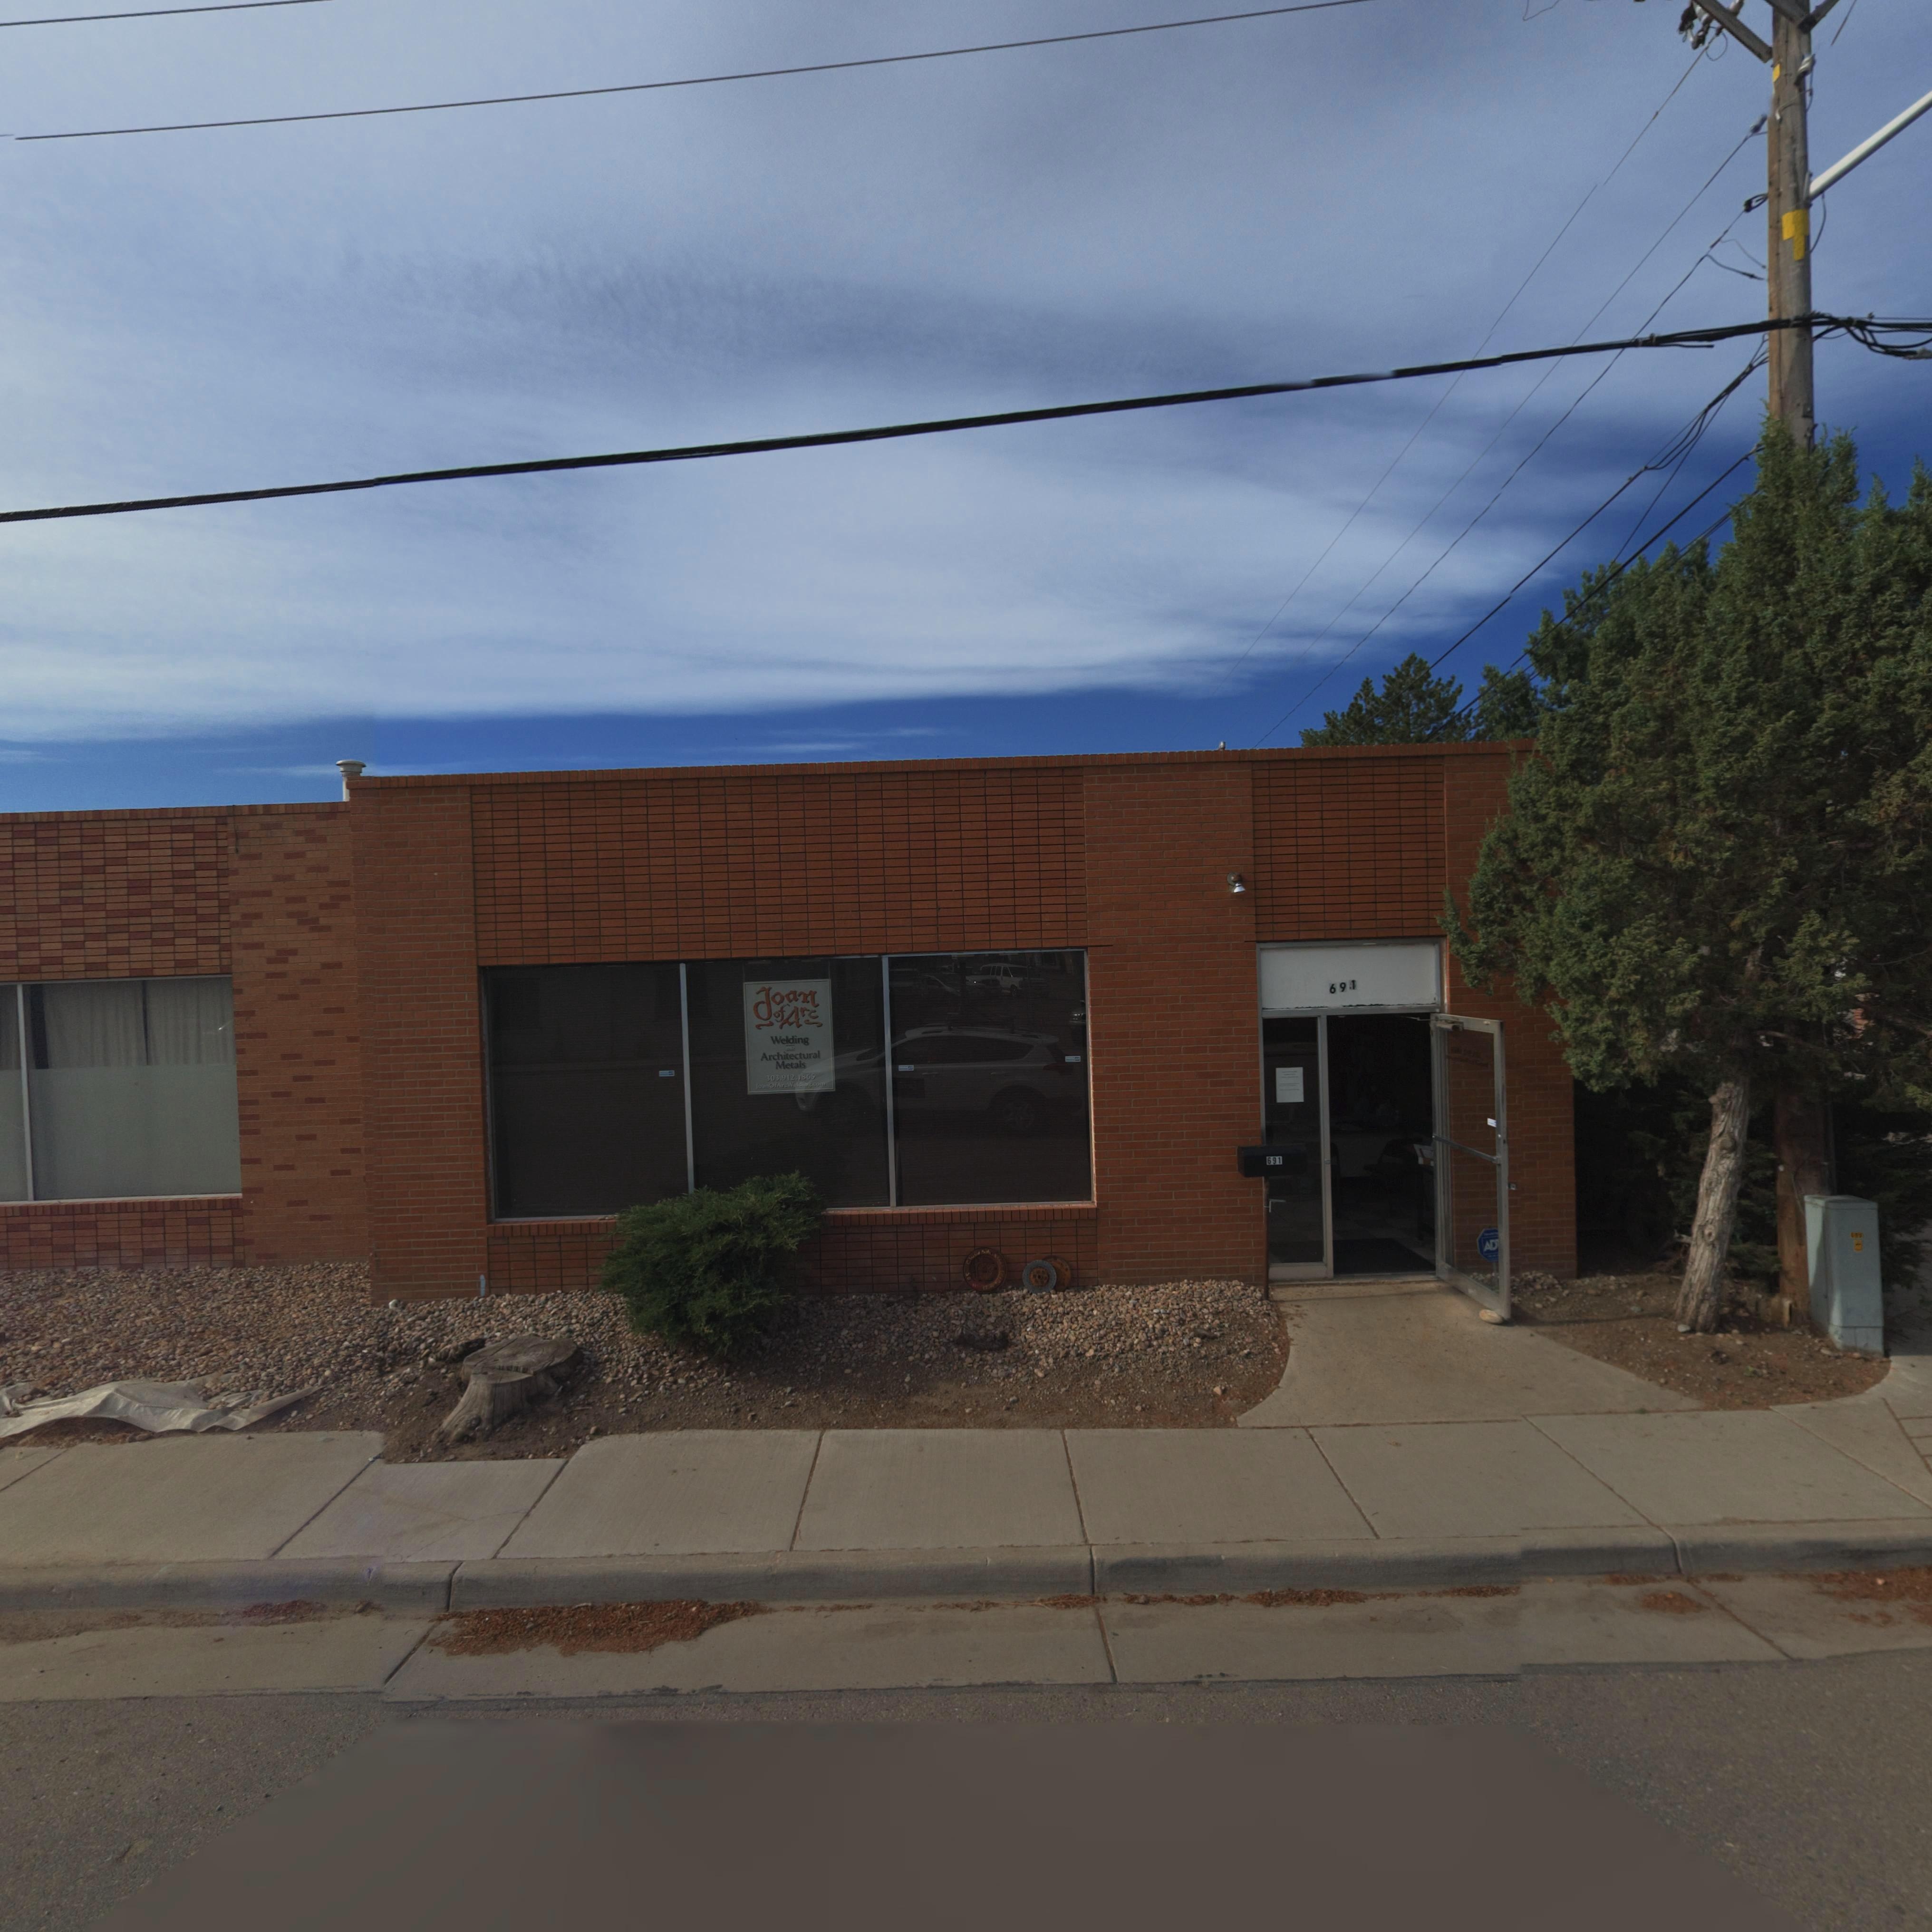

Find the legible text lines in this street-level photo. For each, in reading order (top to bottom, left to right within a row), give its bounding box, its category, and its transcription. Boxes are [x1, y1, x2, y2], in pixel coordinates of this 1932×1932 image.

[1329, 979, 1355, 994] StreetNumber: 691
[773, 1003, 791, 1023] BusinessName: of
[752, 985, 820, 1021] BusinessName: Joan
[777, 1005, 819, 1030] BusinessName: Arc
[1267, 1156, 1281, 1164] StreetNumber: 691